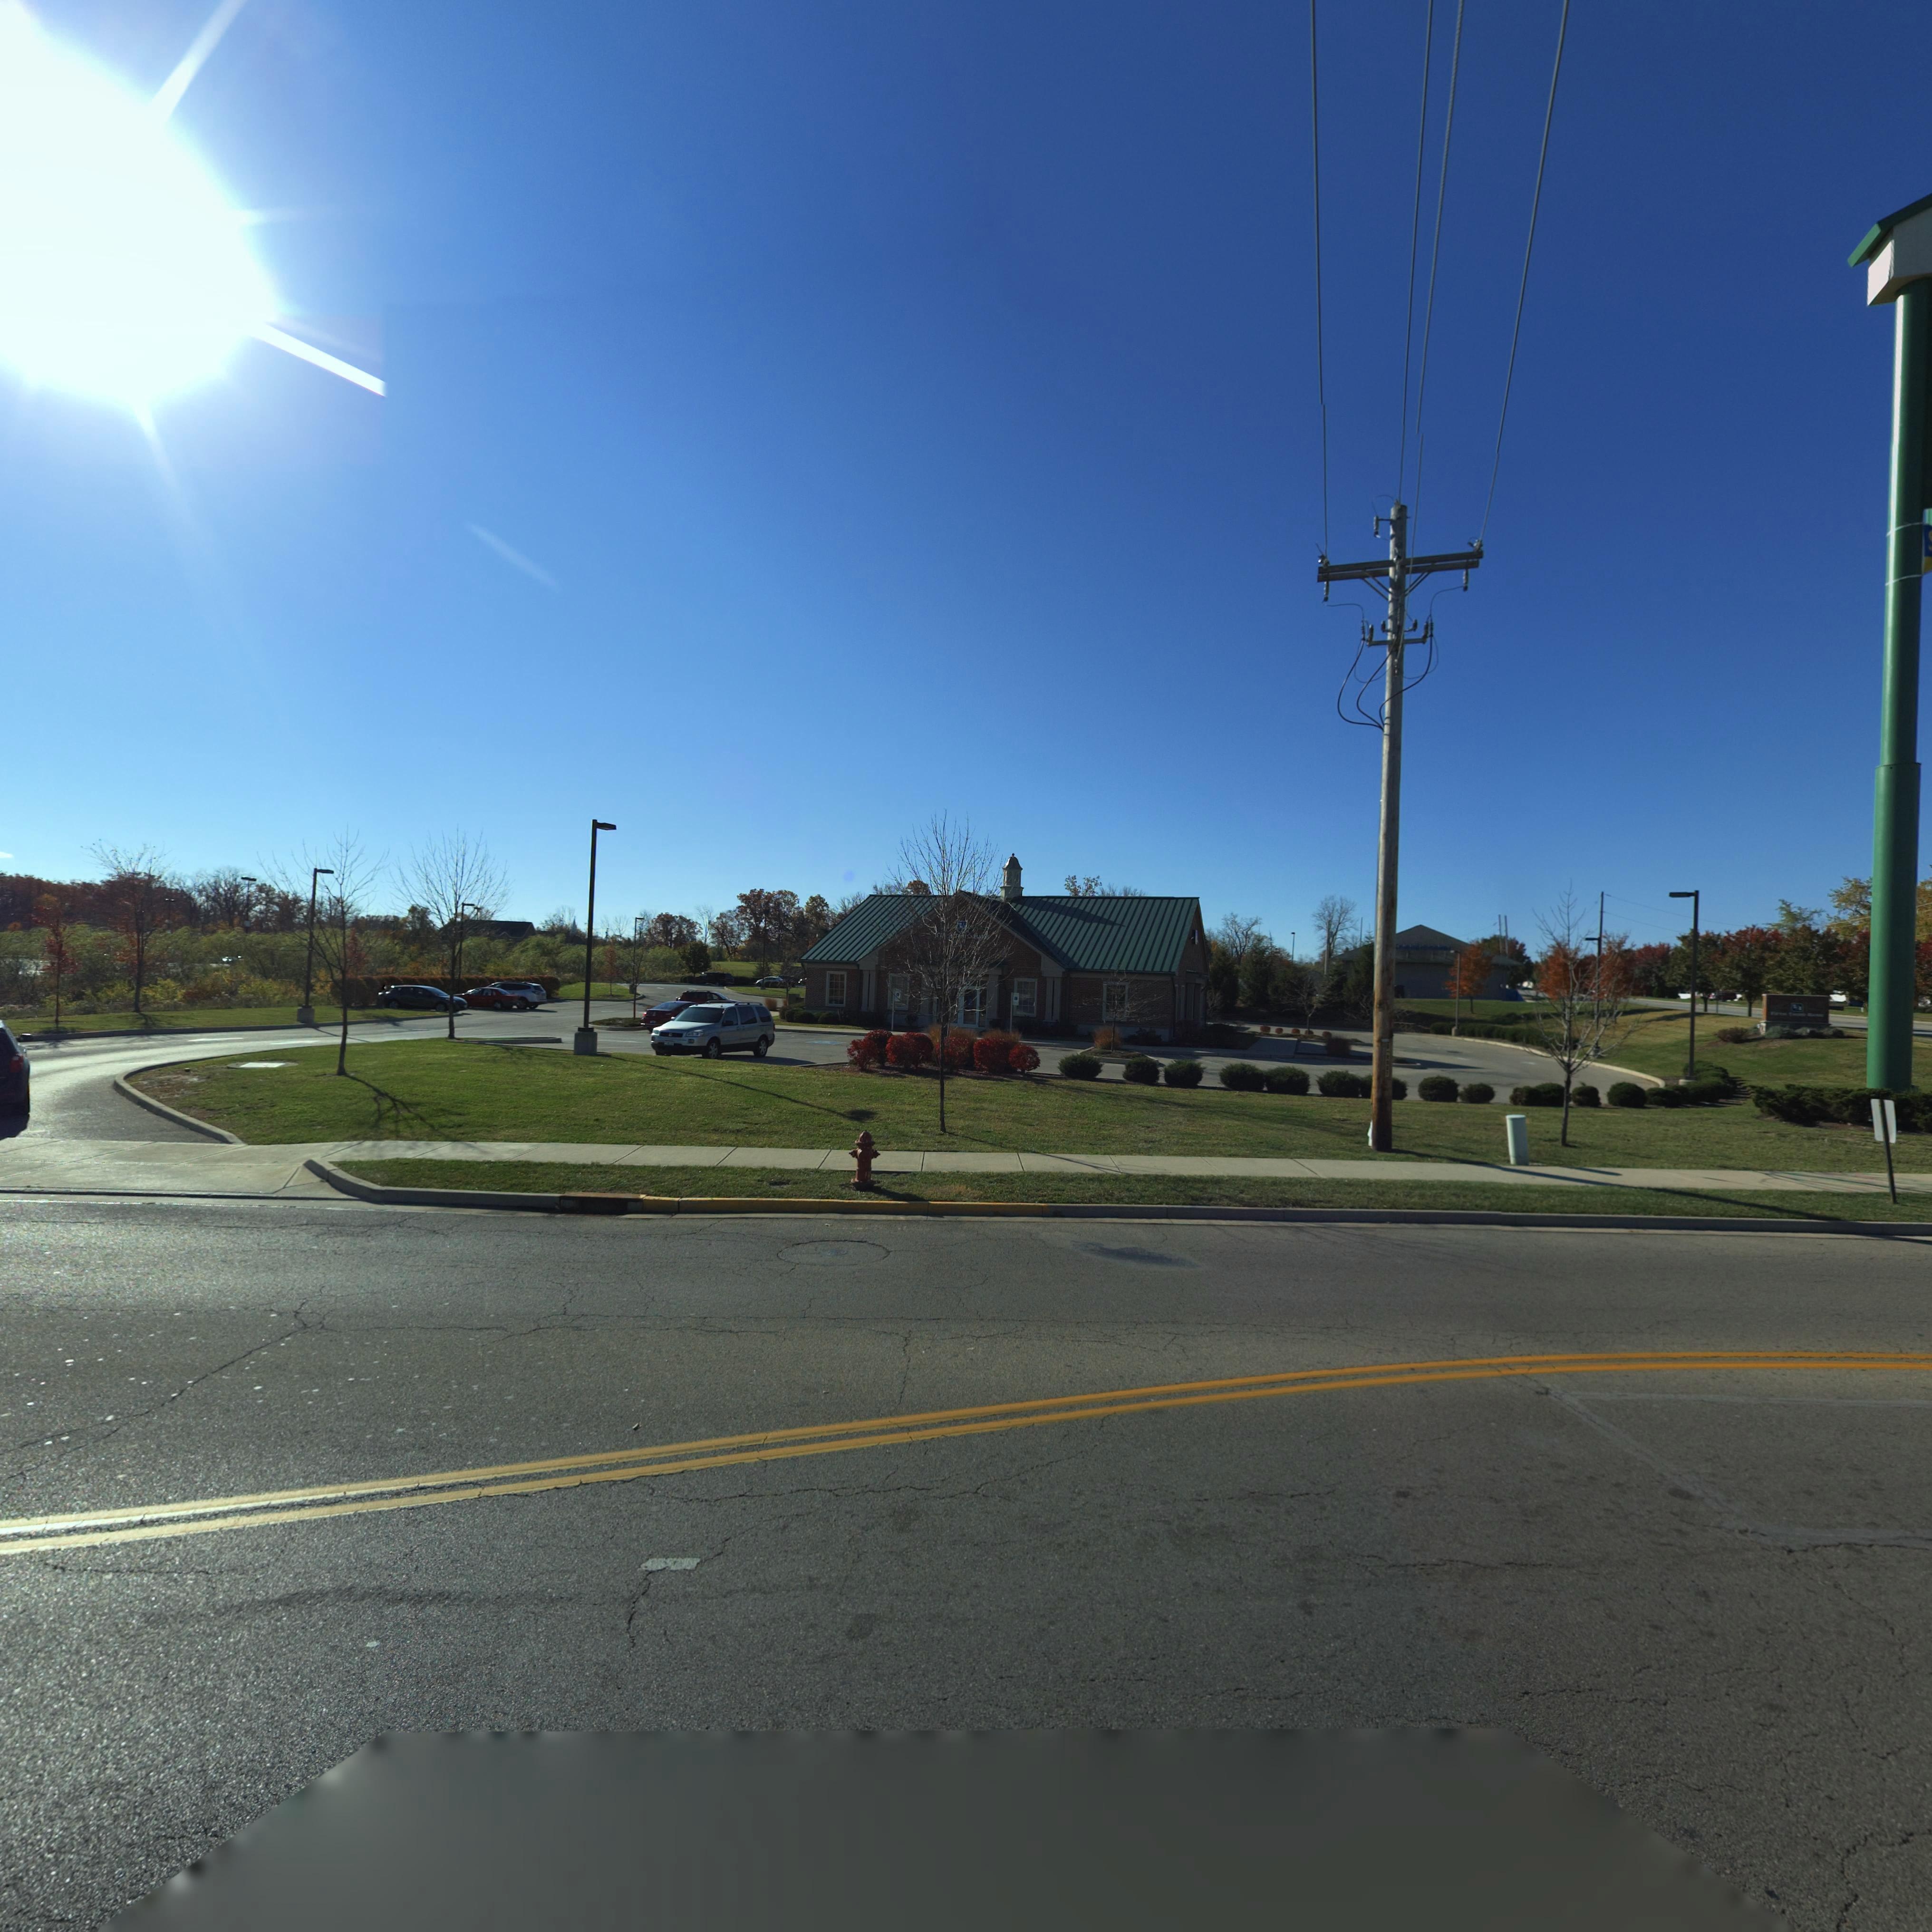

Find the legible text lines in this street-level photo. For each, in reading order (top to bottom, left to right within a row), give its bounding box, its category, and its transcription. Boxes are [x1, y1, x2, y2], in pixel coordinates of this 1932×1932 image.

[958, 980, 962, 985] StreetNumber: 7